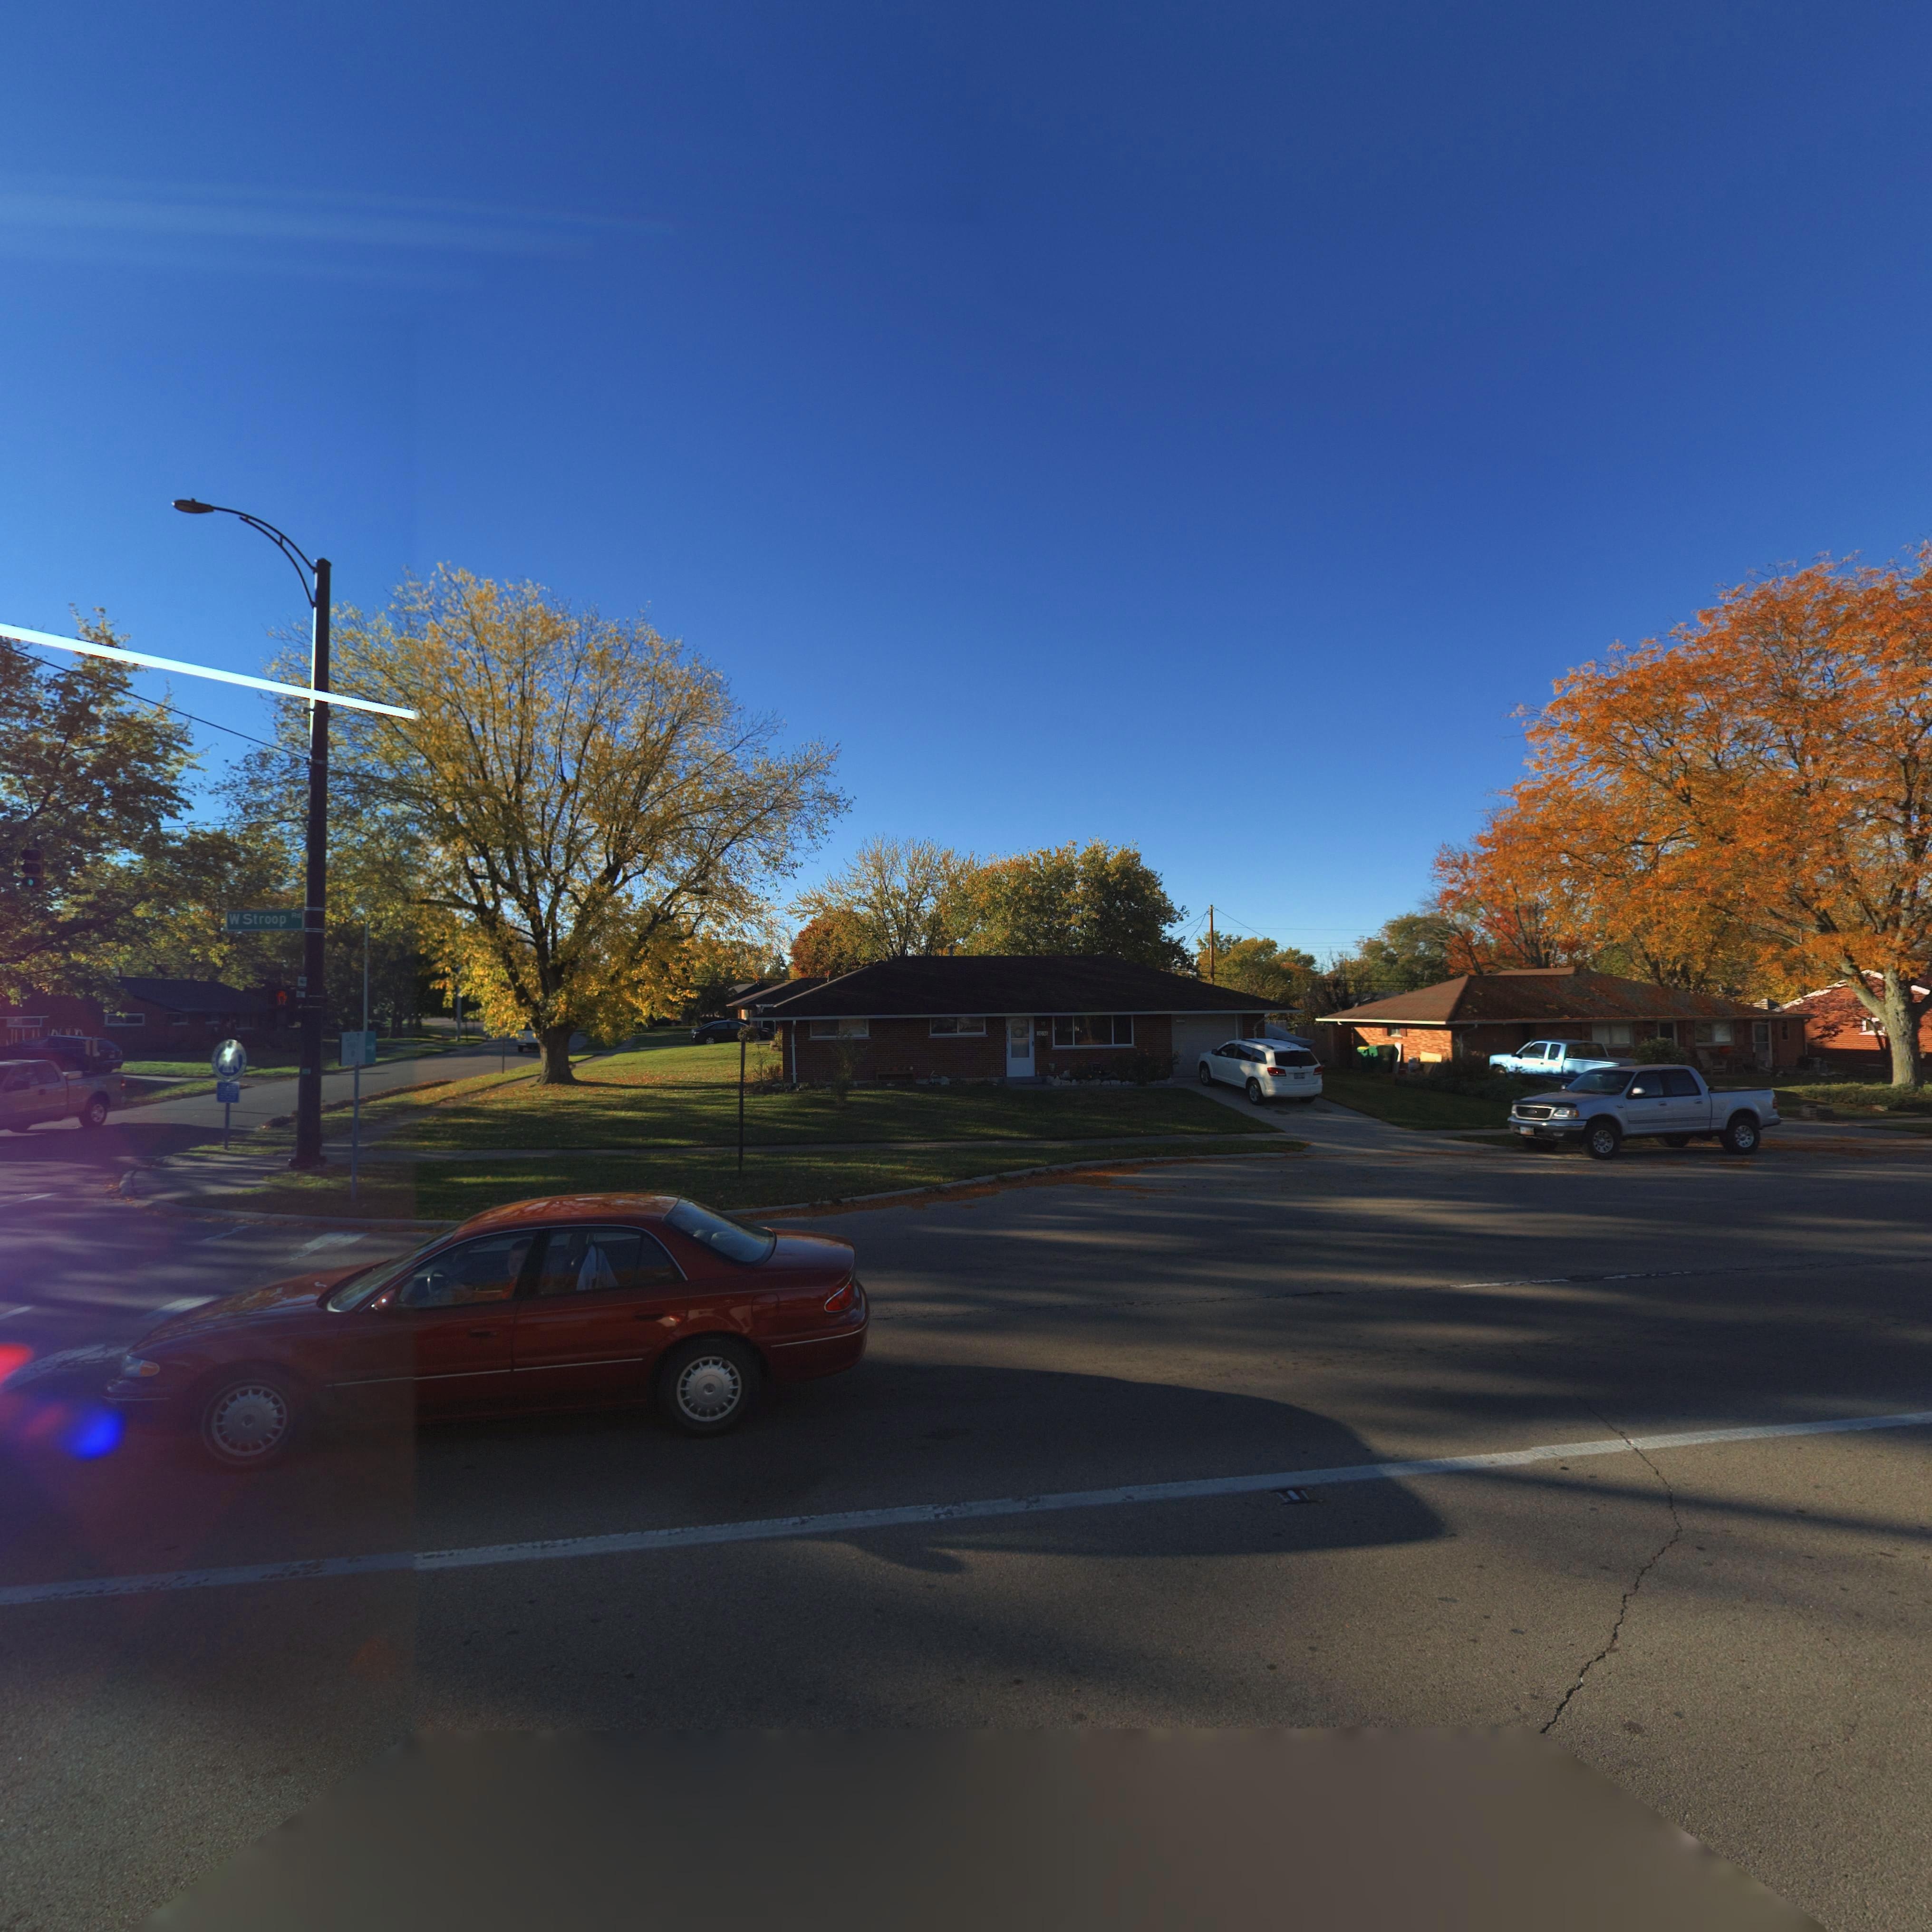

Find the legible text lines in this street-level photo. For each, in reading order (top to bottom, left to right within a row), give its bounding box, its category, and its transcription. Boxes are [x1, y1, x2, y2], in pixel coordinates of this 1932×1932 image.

[1037, 1031, 1048, 1036] StreetNumber: *0*6